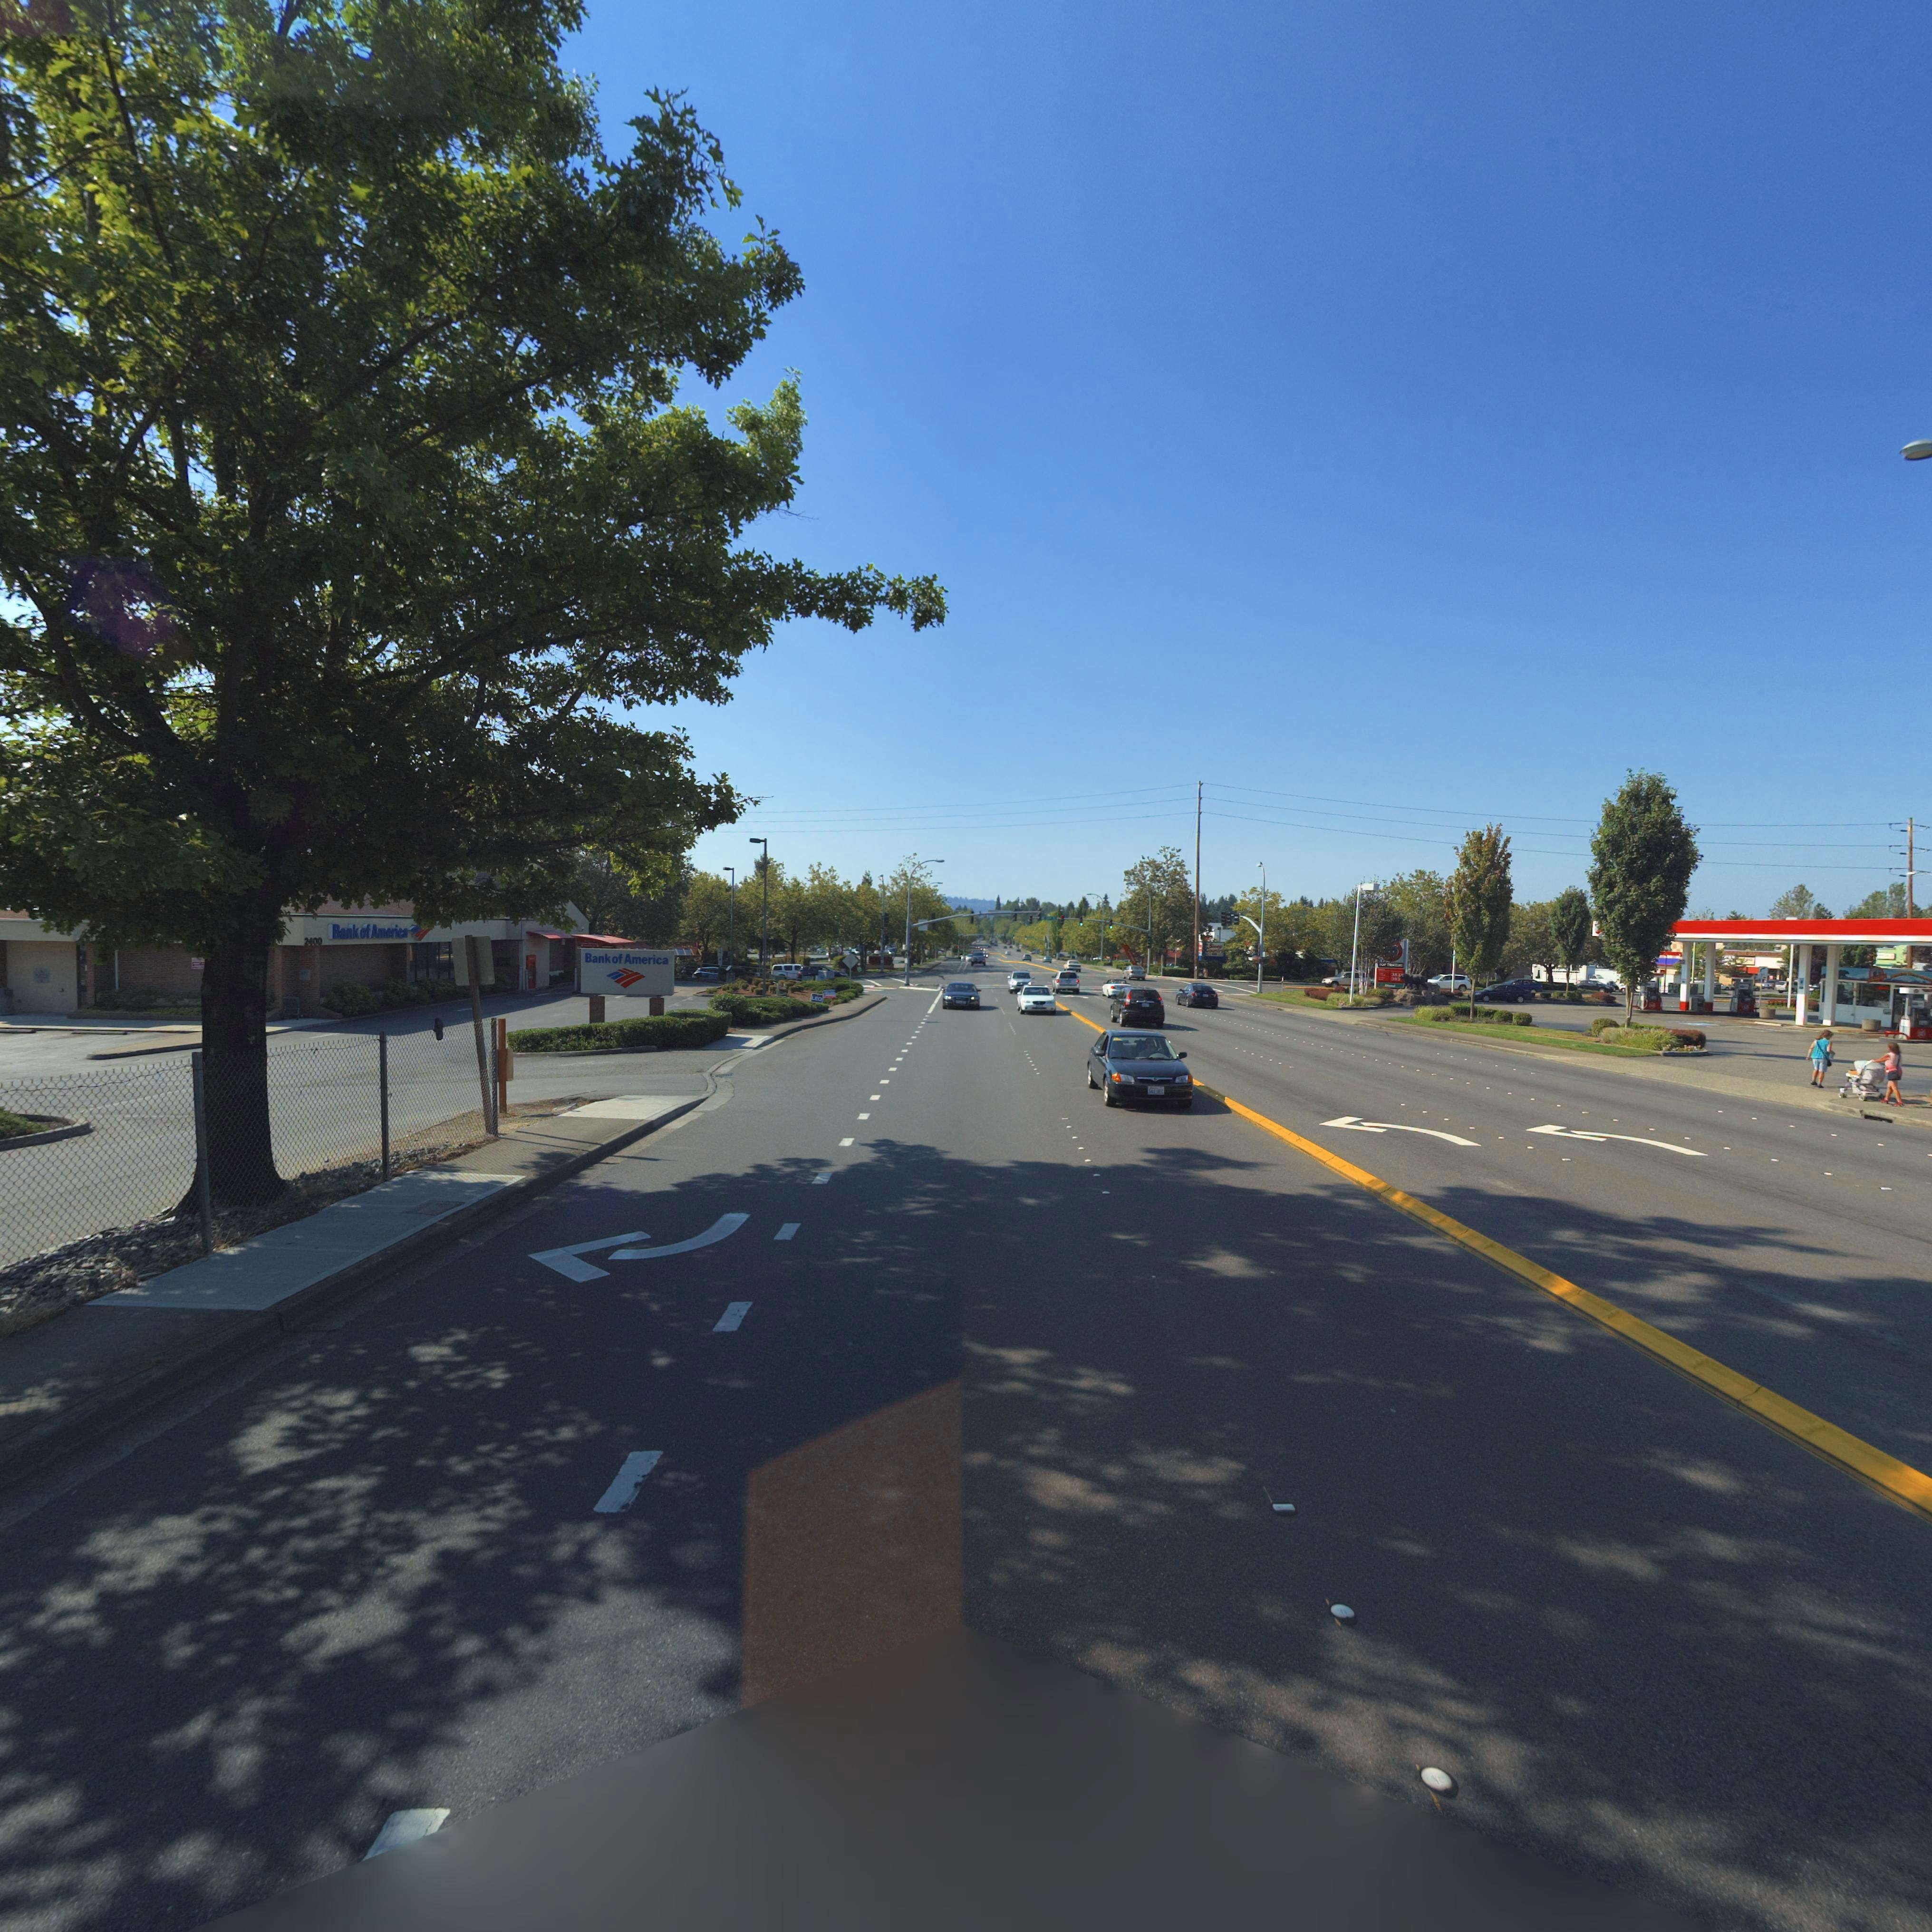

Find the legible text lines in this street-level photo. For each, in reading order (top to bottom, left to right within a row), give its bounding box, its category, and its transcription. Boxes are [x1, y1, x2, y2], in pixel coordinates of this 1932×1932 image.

[328, 923, 408, 939] BusinessName: Bank of America
[304, 937, 322, 946] StreetNumber: 2400
[1205, 947, 1224, 954] BusinessName: Country
[1209, 943, 1222, 949] BusinessName: Sleep
[585, 952, 668, 965] BusinessName: Bank of America